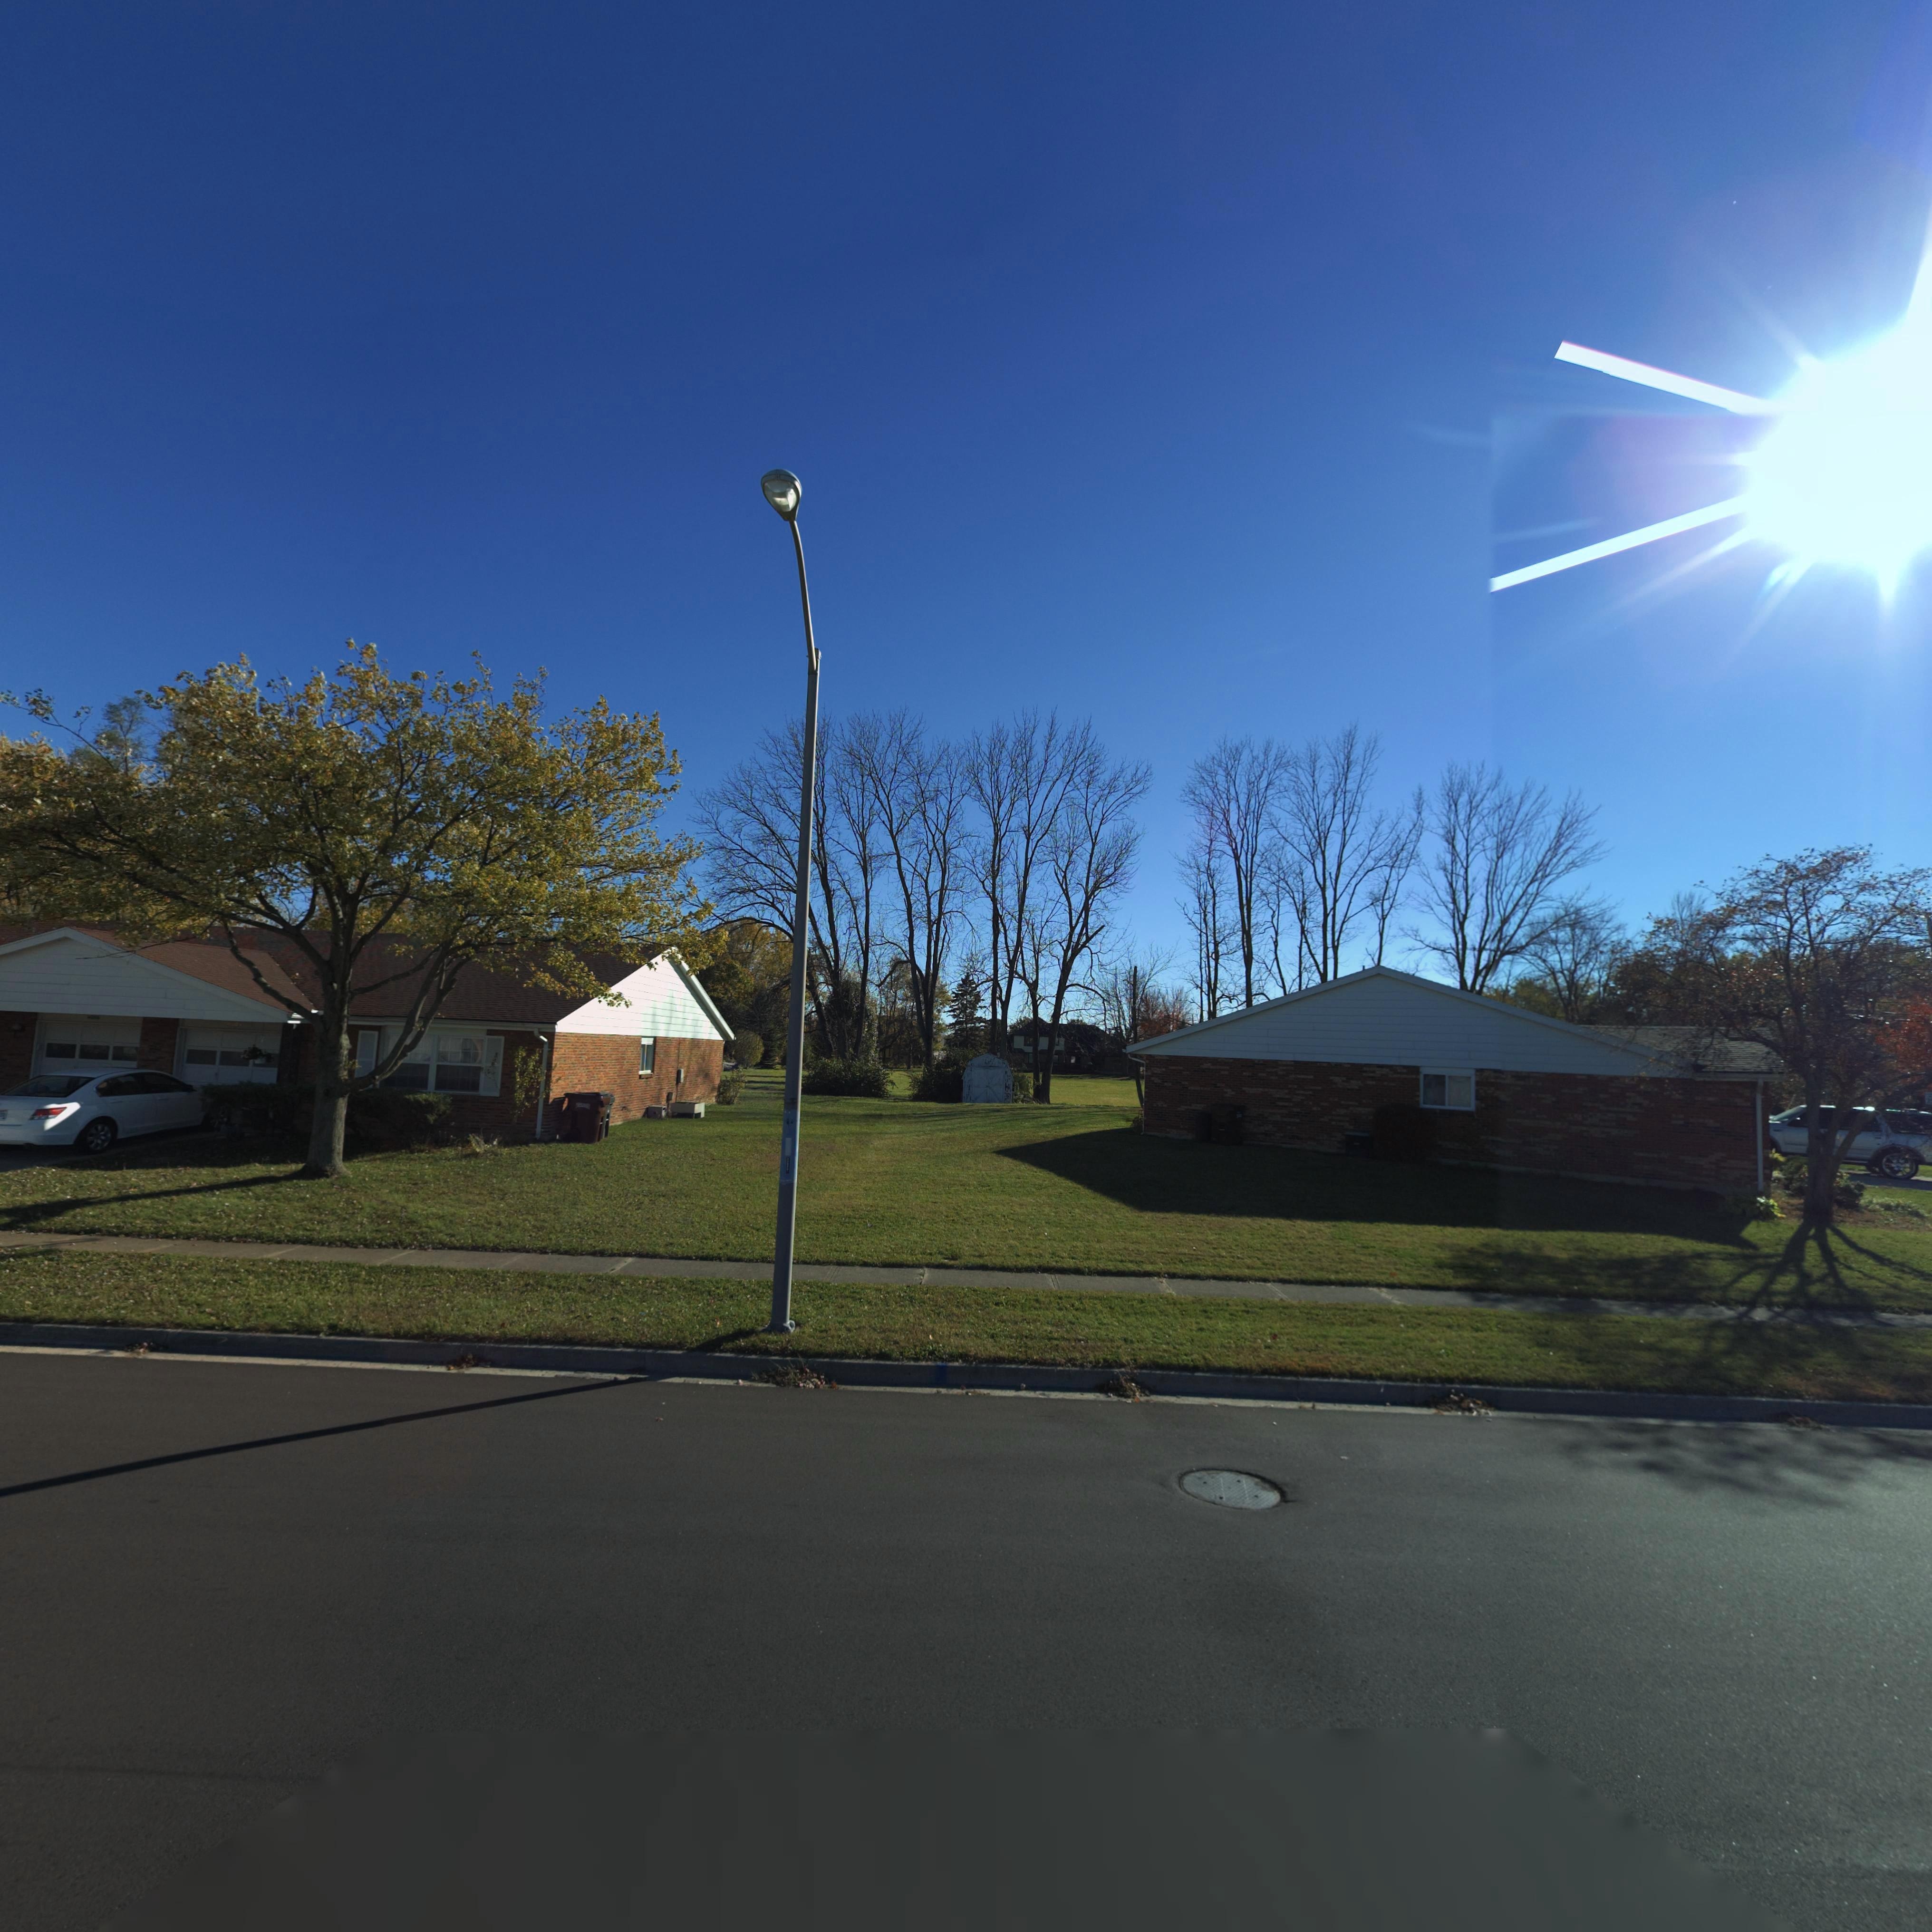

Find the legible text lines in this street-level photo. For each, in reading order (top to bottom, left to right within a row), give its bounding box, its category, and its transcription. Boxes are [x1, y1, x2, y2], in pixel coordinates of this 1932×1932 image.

[86, 1014, 101, 1020] StreetNumber: 4006
[225, 1021, 243, 1028] StreetNumber: 400*